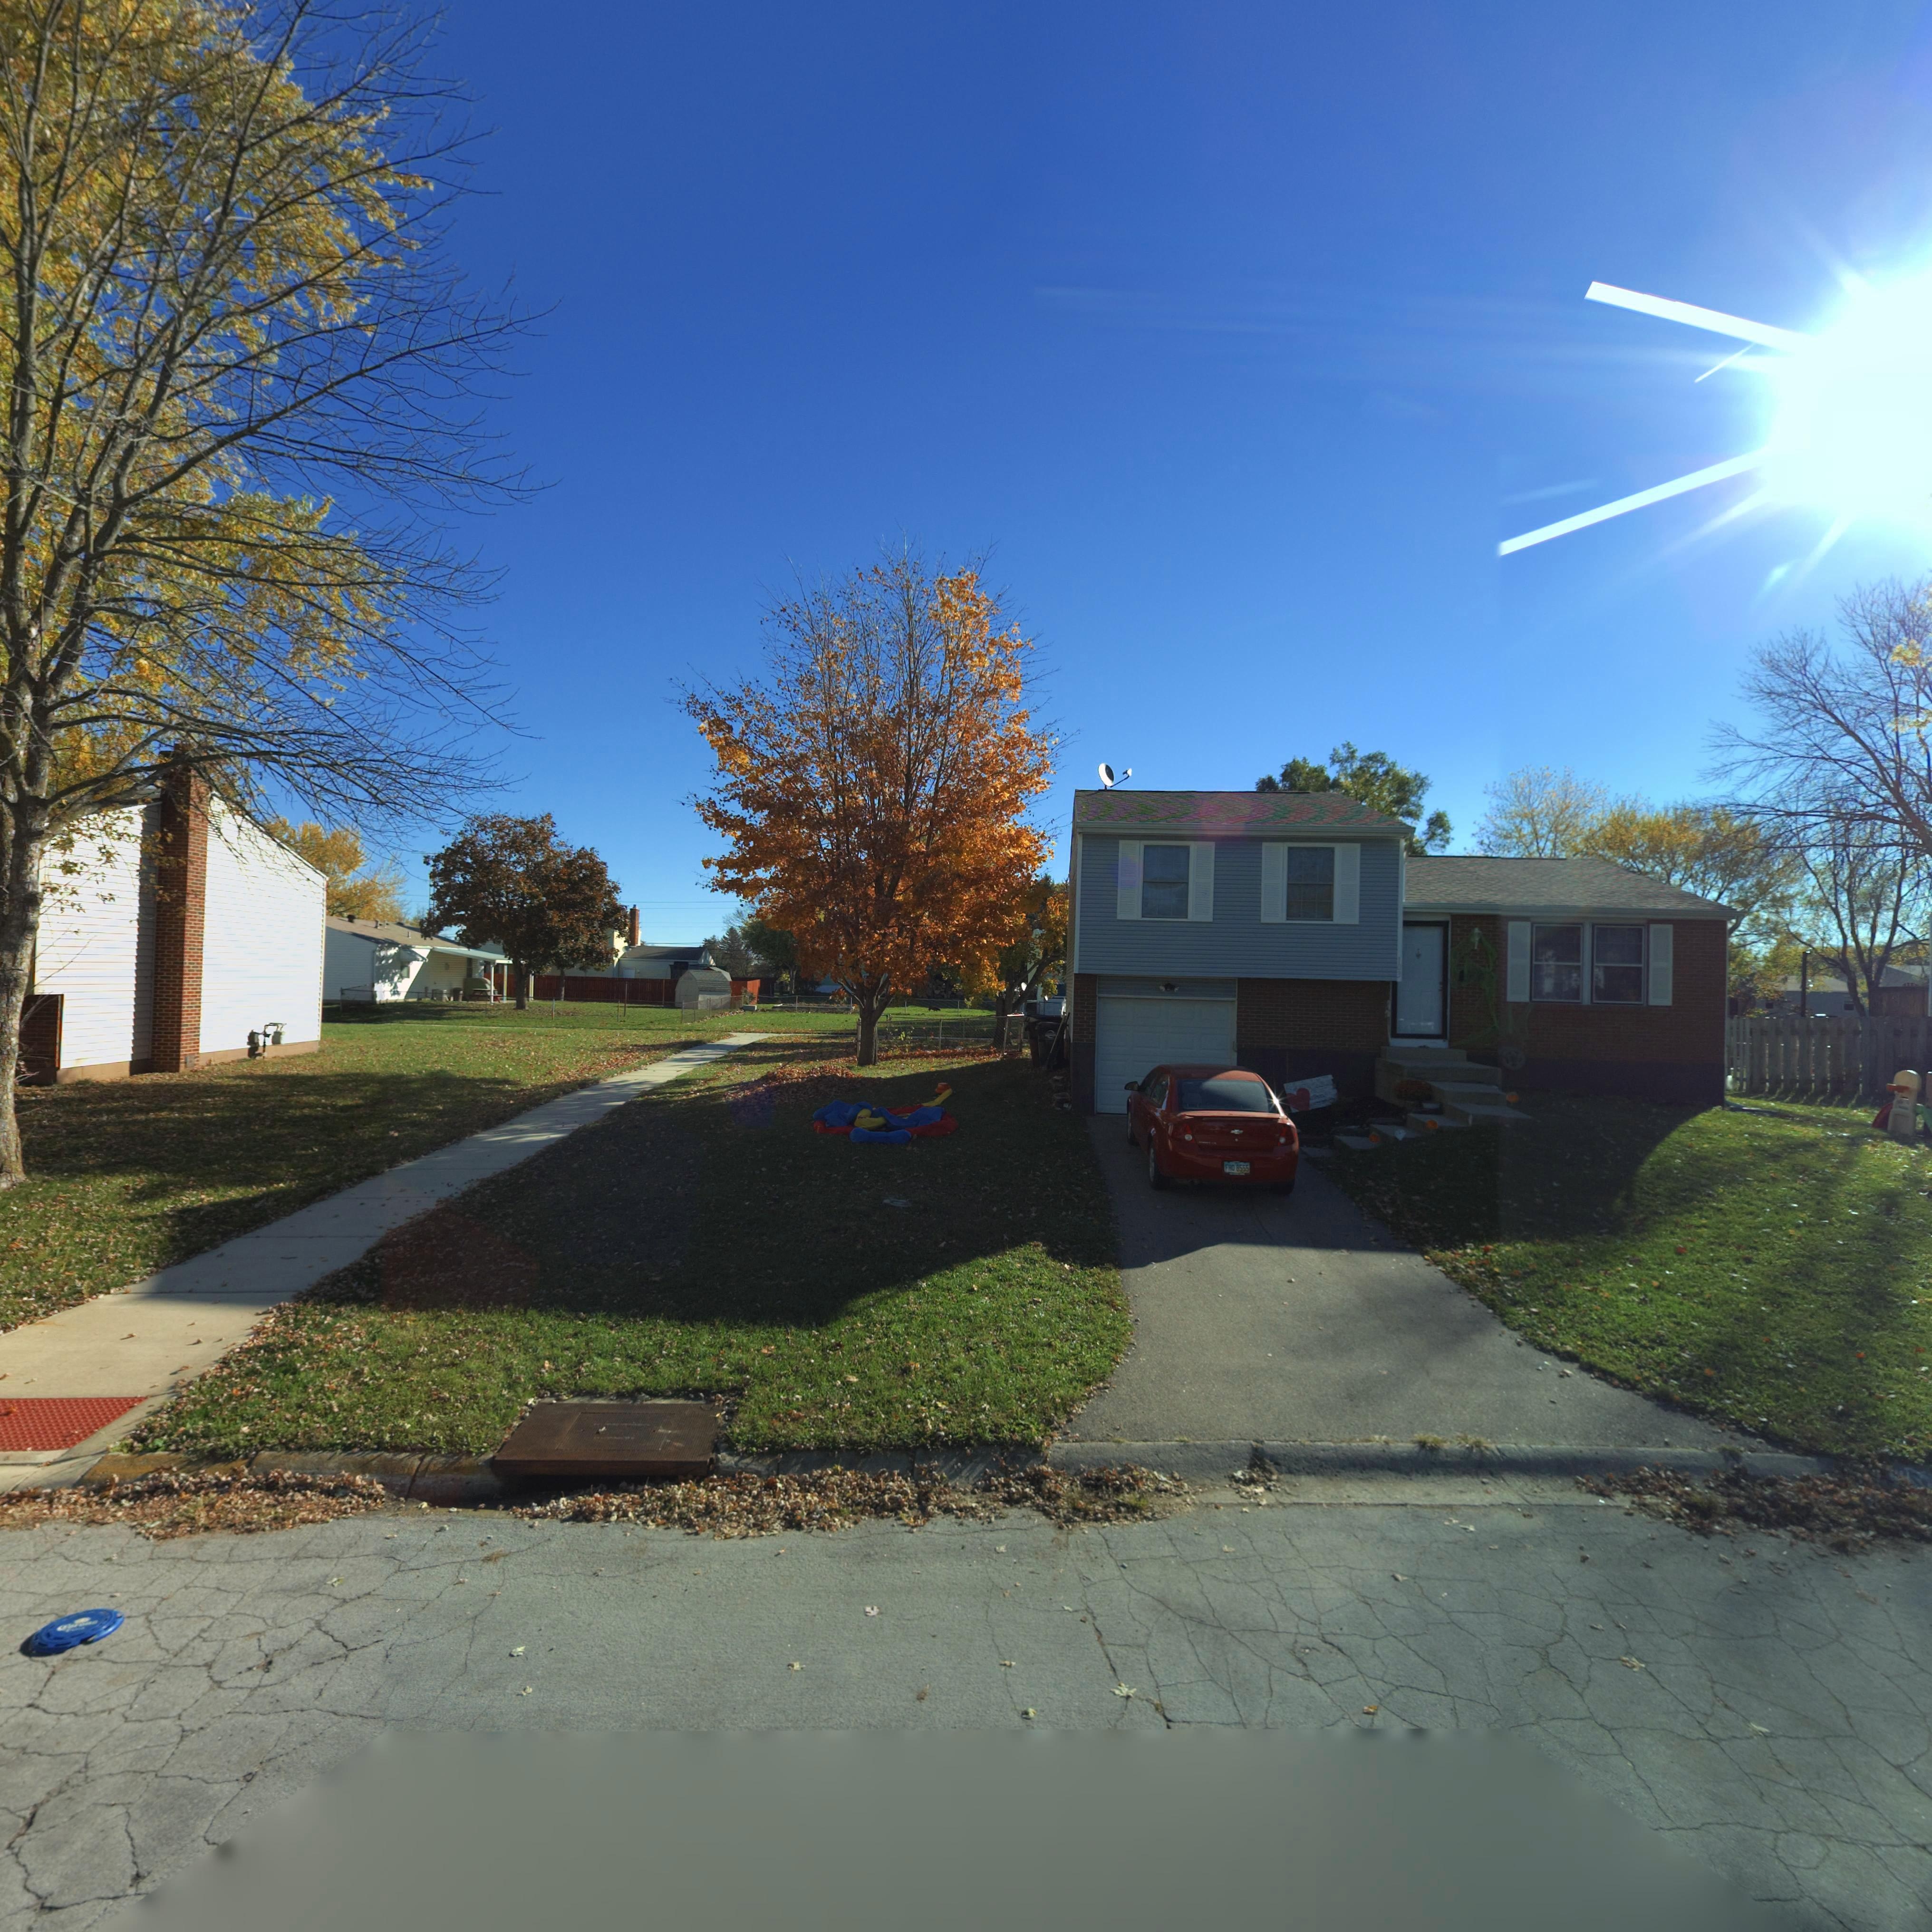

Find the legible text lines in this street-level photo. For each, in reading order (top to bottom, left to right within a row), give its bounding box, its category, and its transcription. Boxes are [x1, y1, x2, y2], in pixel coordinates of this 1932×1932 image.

[1396, 956, 1402, 978] StreetNumber: 103